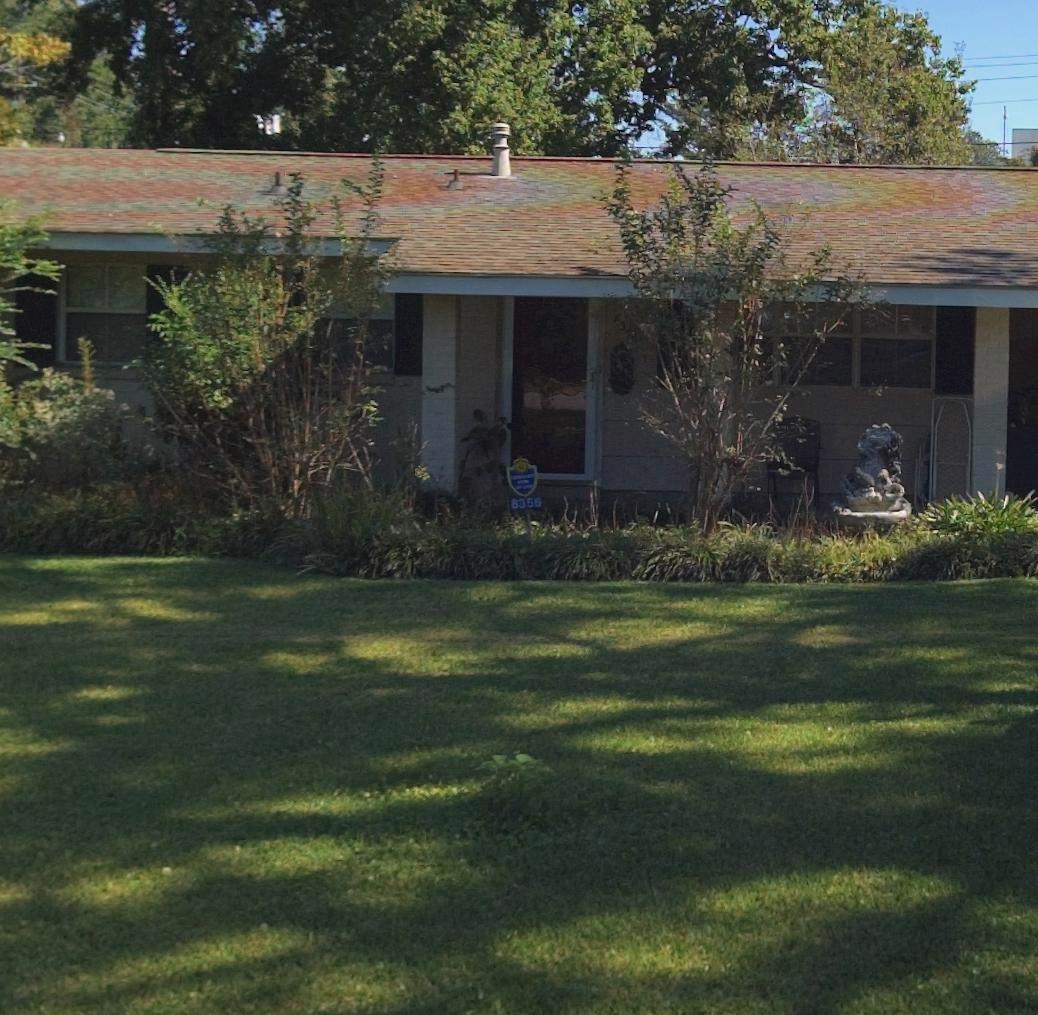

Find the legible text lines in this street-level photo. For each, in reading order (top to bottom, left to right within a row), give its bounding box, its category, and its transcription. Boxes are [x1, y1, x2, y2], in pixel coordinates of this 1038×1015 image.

[508, 495, 544, 512] StreetNumber: 8356